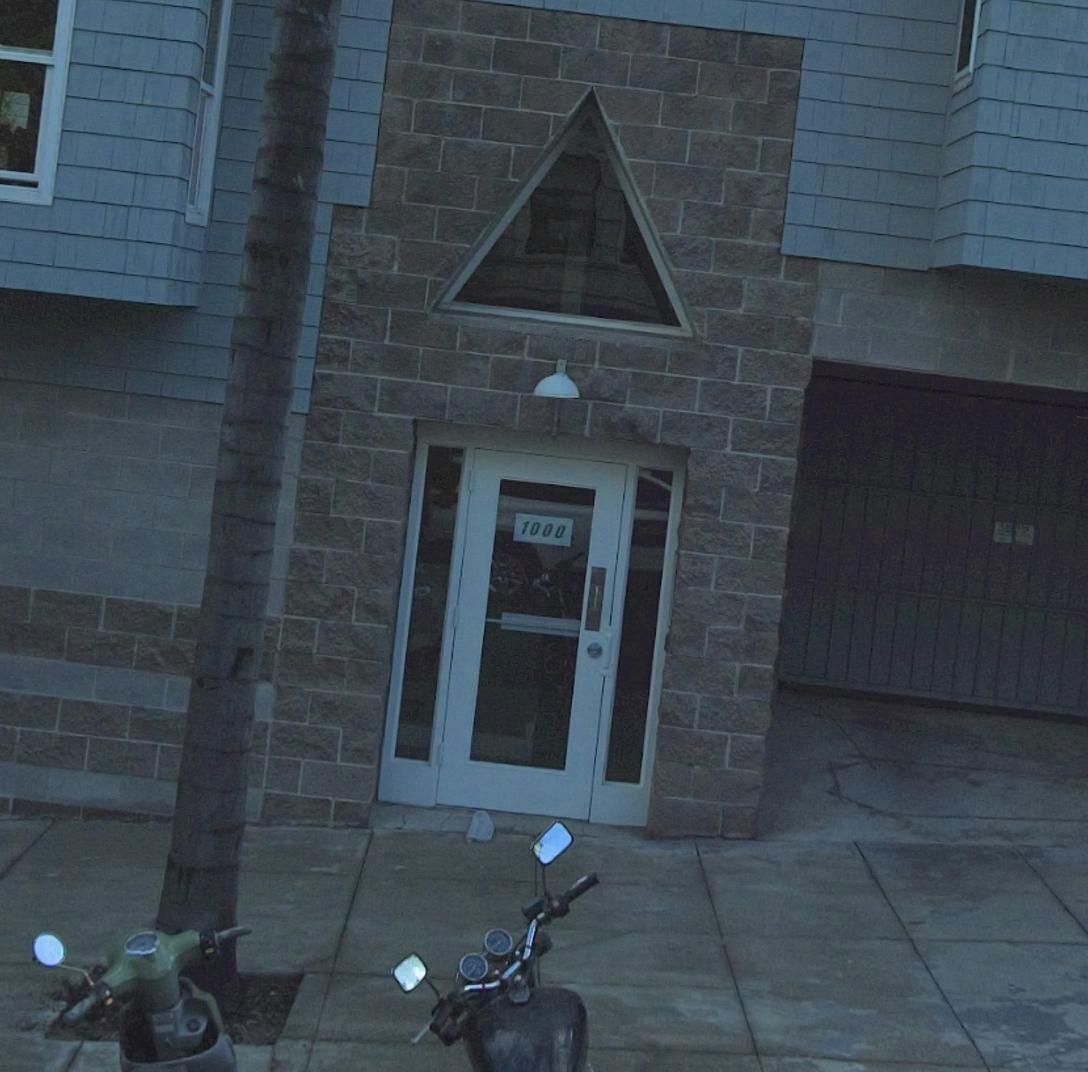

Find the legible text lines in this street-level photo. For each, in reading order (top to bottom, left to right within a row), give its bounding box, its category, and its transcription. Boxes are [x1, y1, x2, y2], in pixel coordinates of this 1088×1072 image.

[517, 518, 570, 542] StreetNumber: 1000